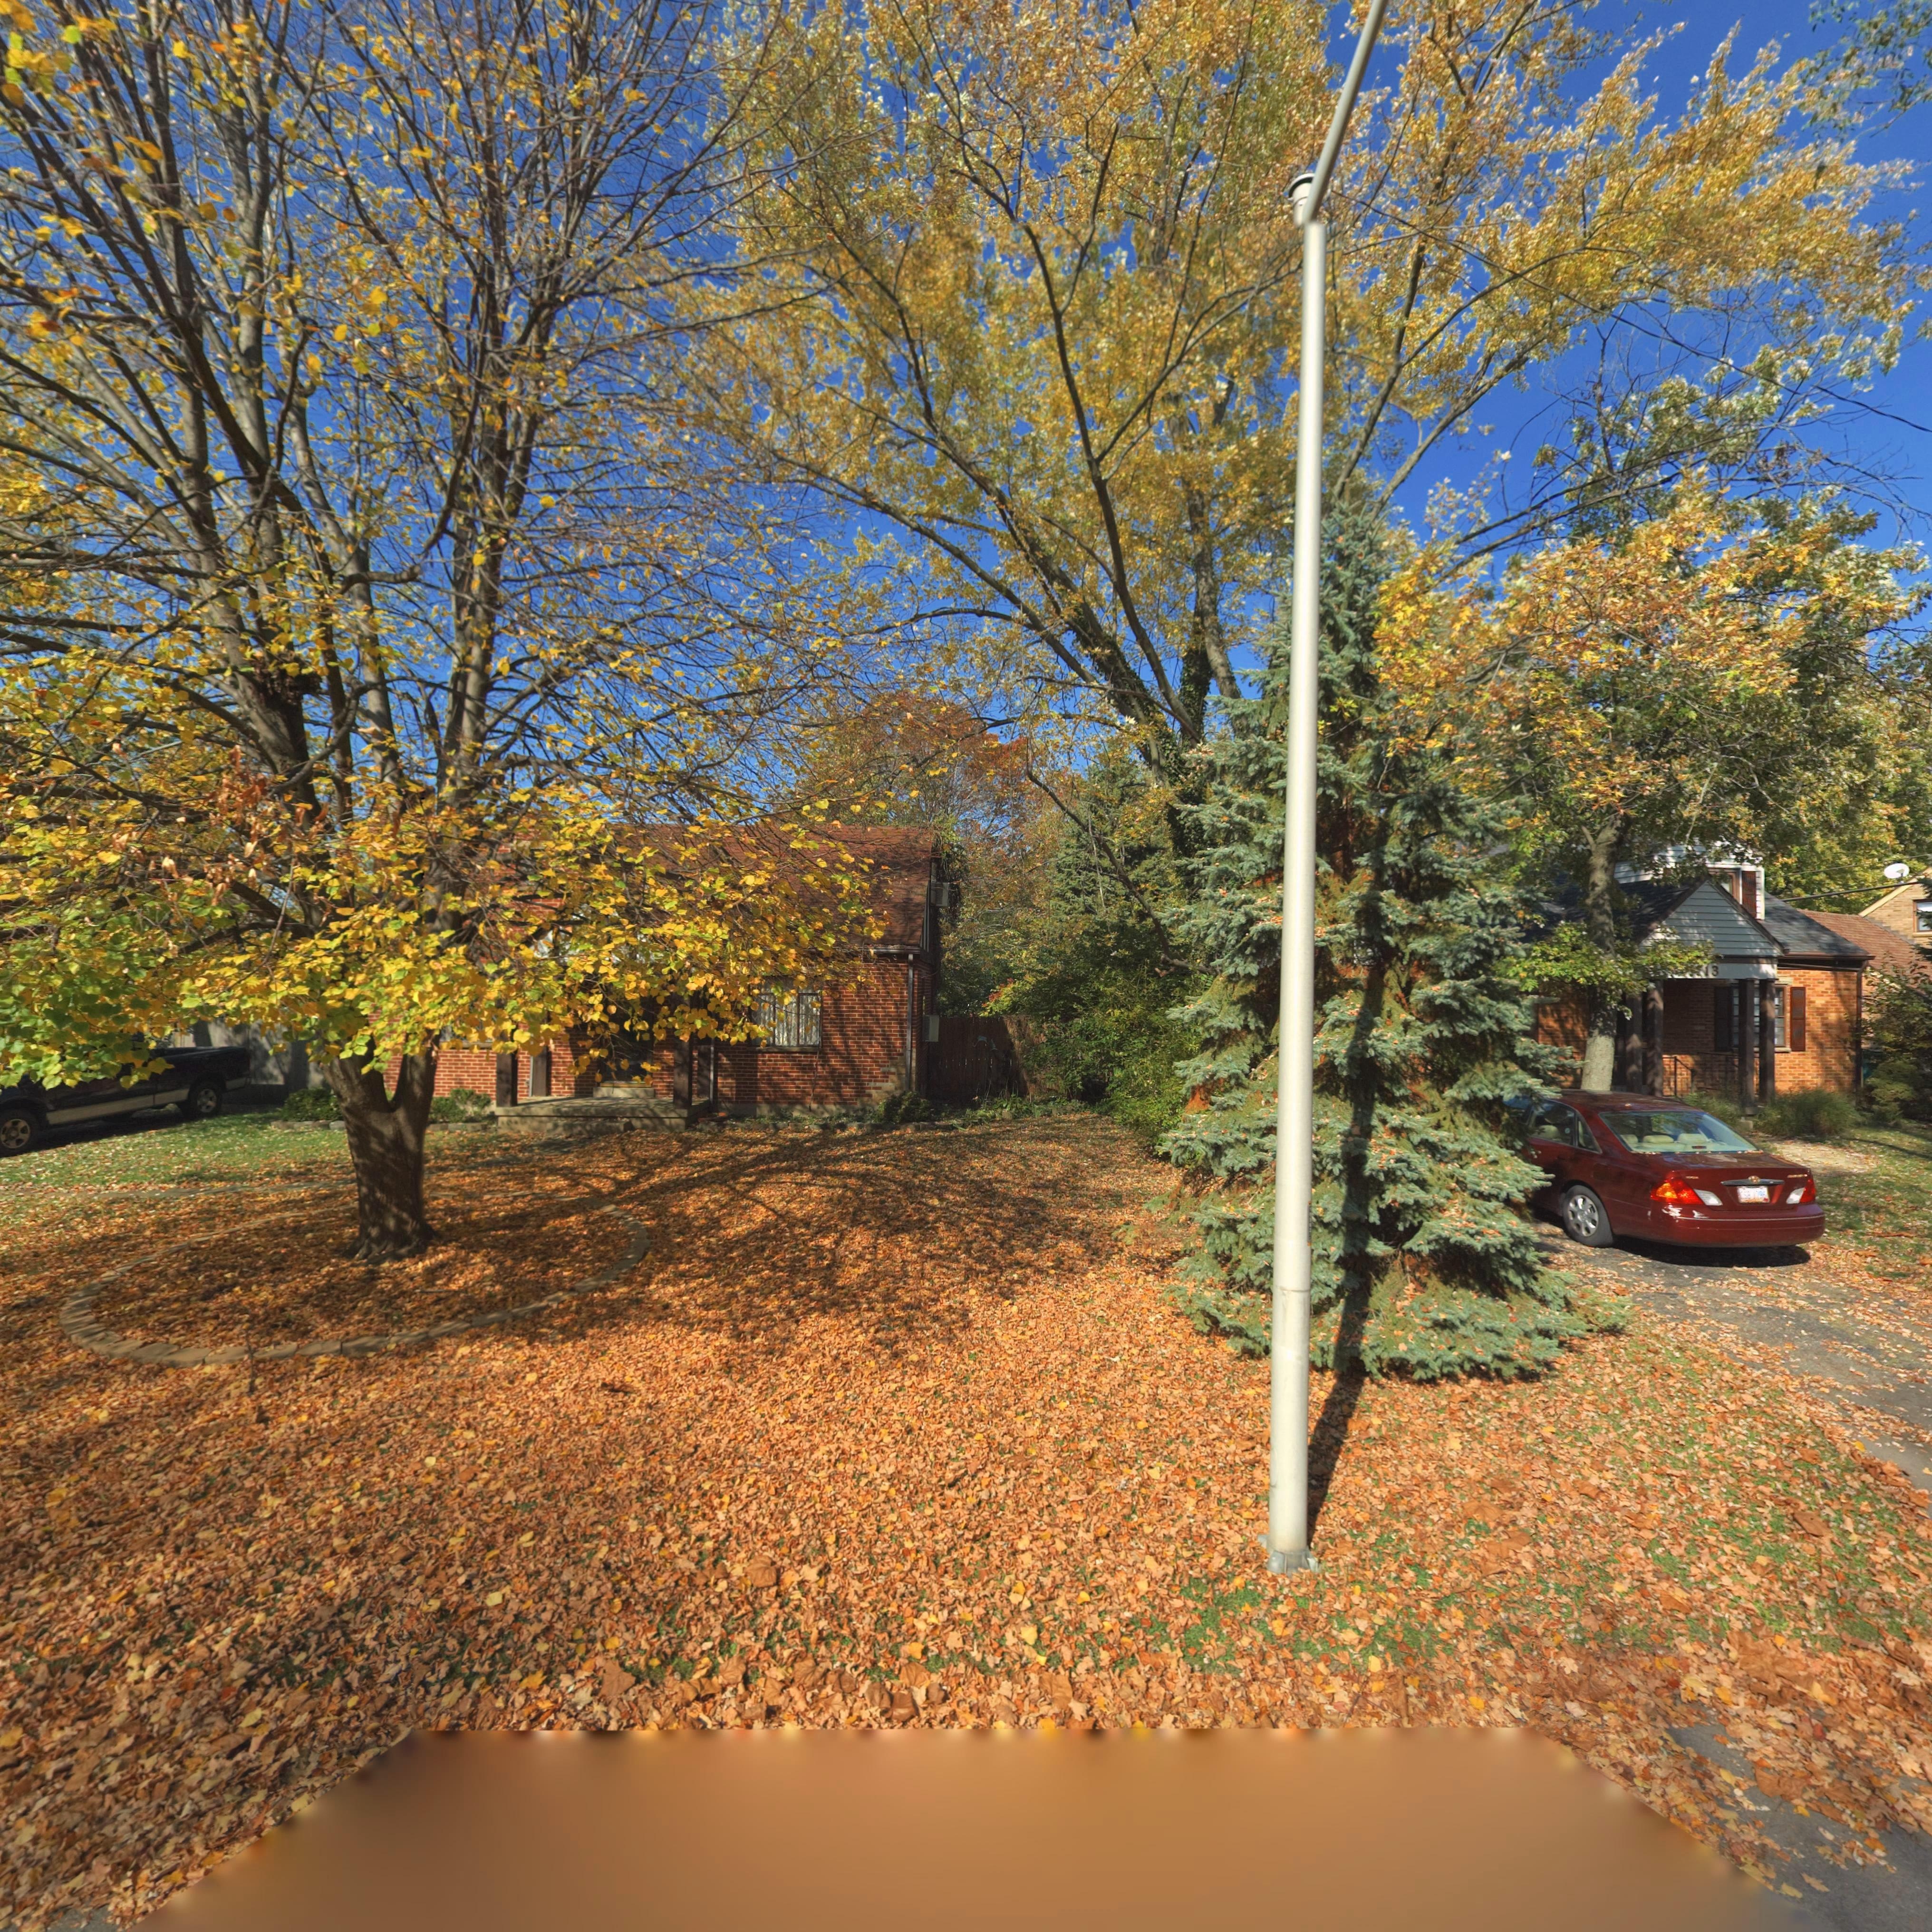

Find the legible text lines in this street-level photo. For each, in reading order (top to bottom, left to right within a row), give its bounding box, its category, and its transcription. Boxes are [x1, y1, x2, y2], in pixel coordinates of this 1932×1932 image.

[1703, 964, 1720, 977] StreetNumber: 13